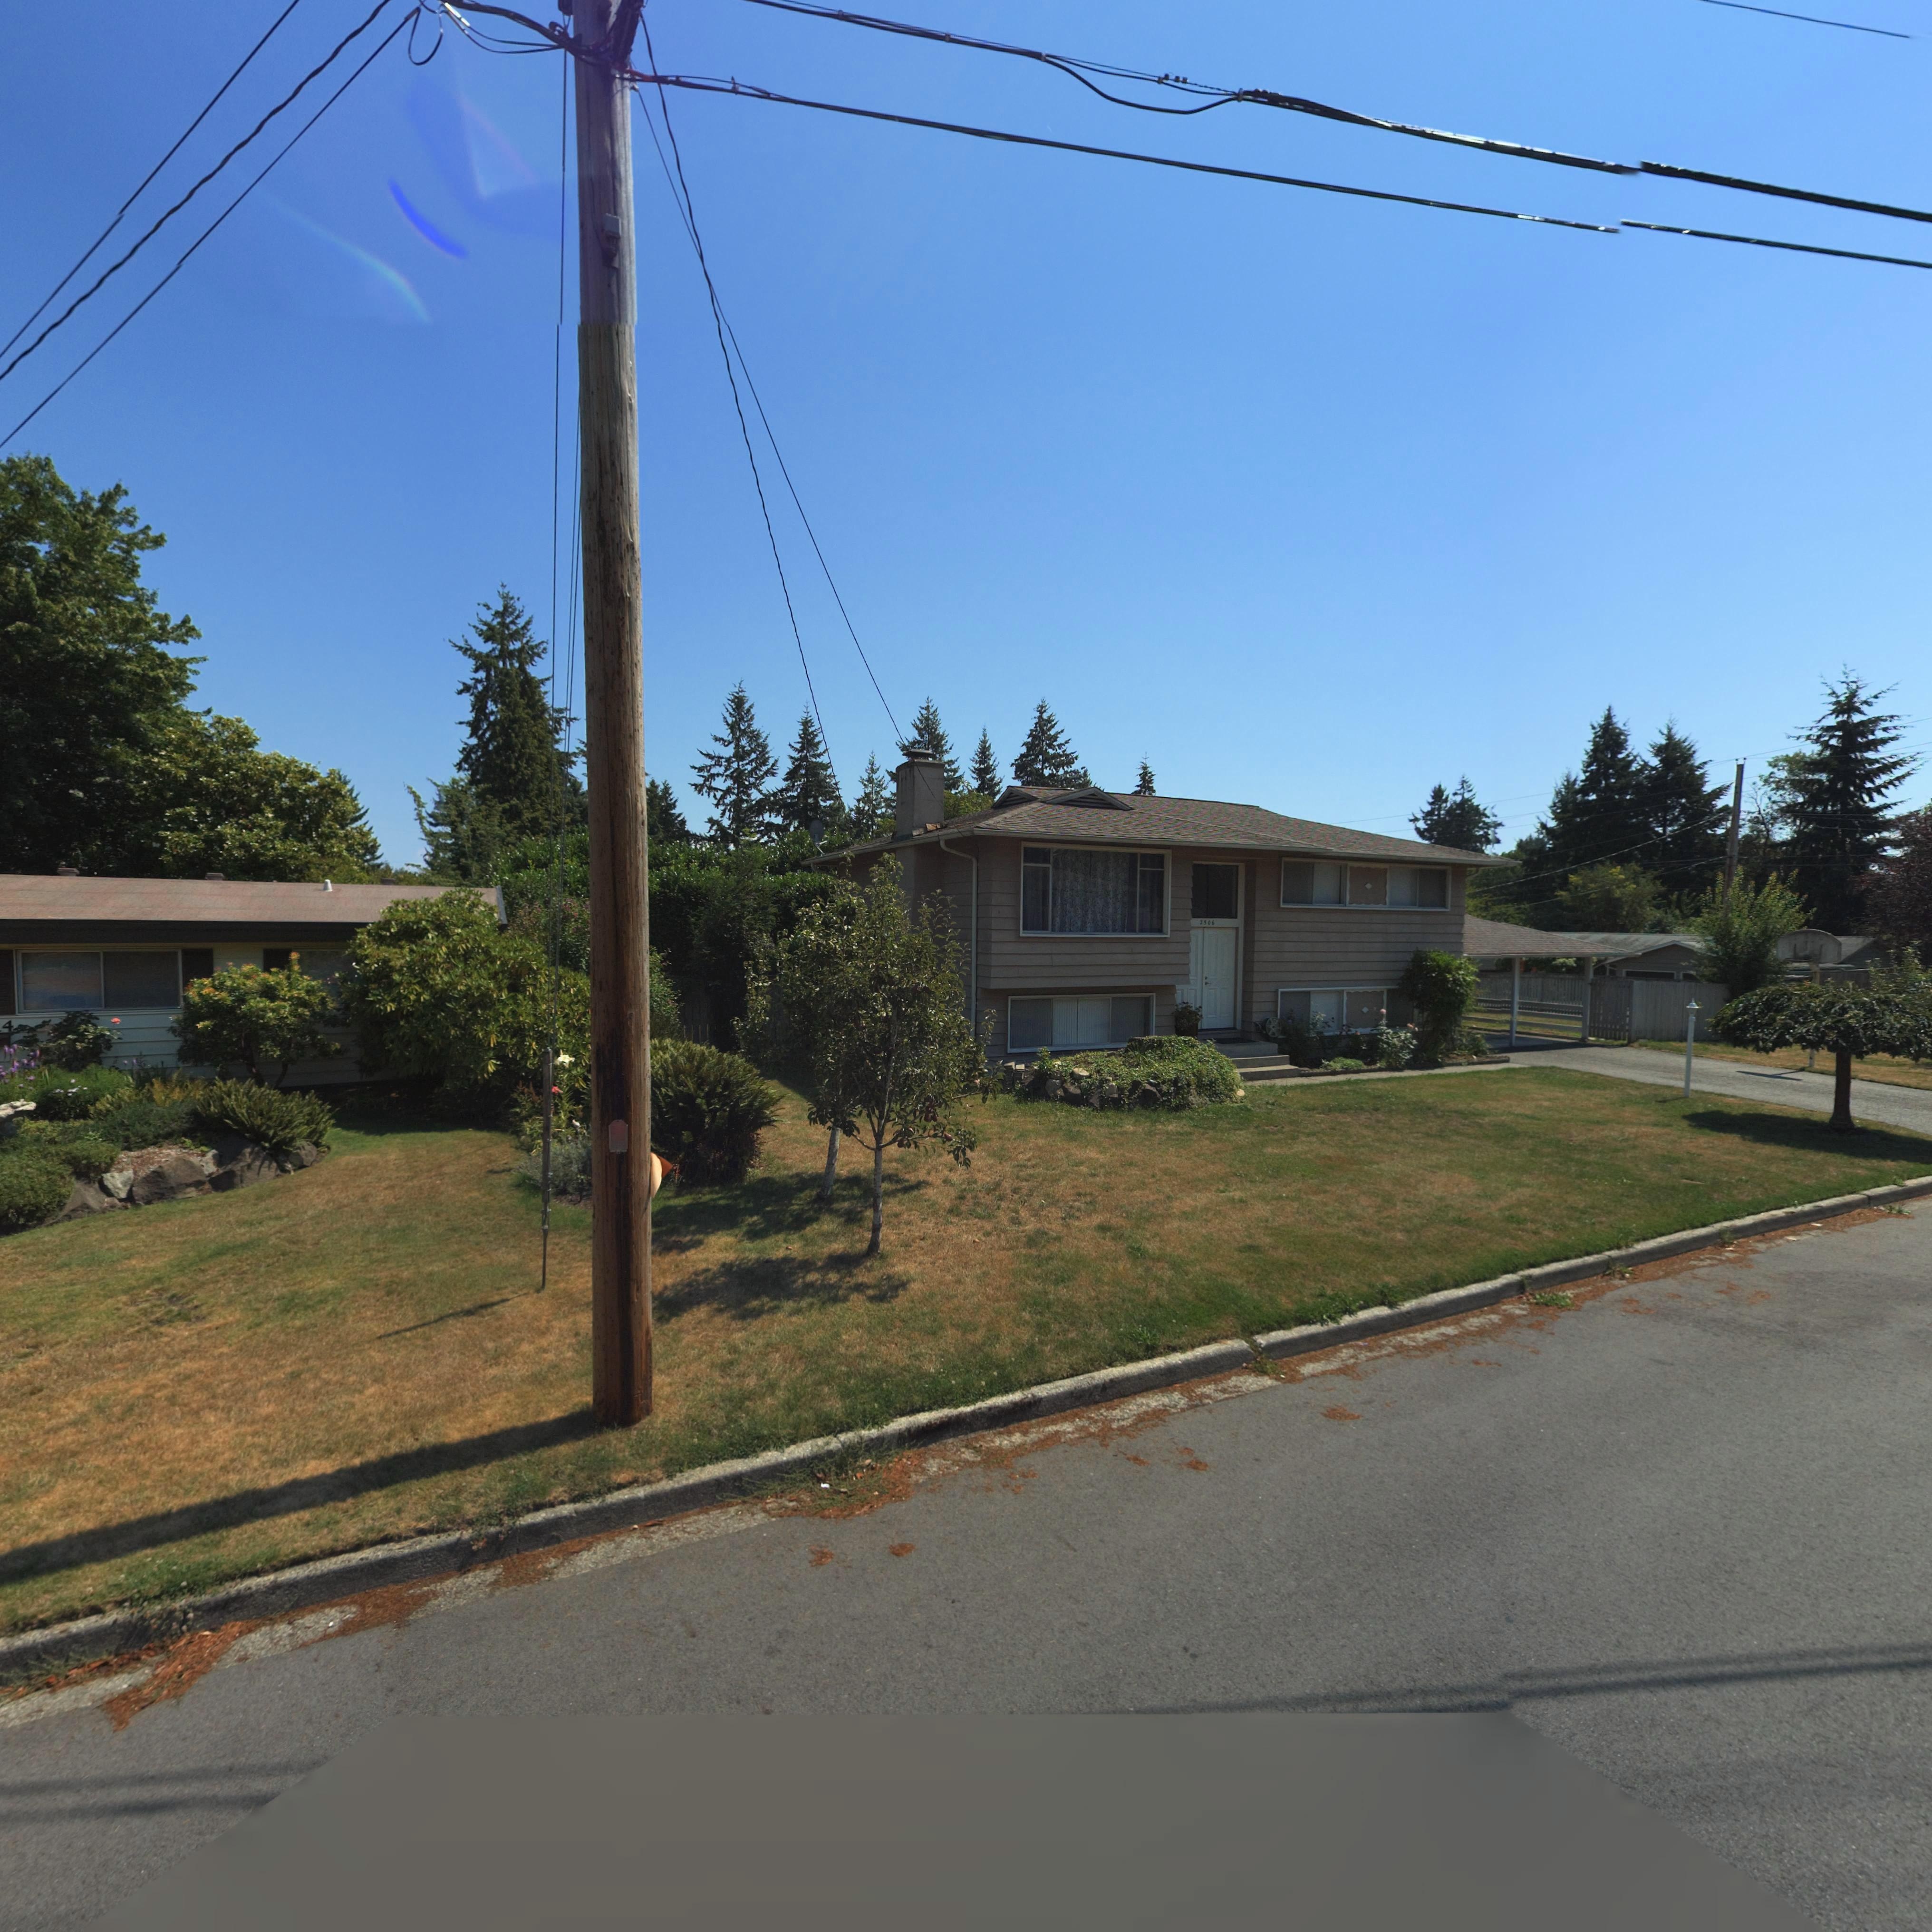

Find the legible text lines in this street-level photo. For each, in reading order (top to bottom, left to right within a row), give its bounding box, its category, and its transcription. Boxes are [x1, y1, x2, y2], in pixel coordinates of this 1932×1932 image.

[1199, 919, 1215, 925] StreetNumber: 2506